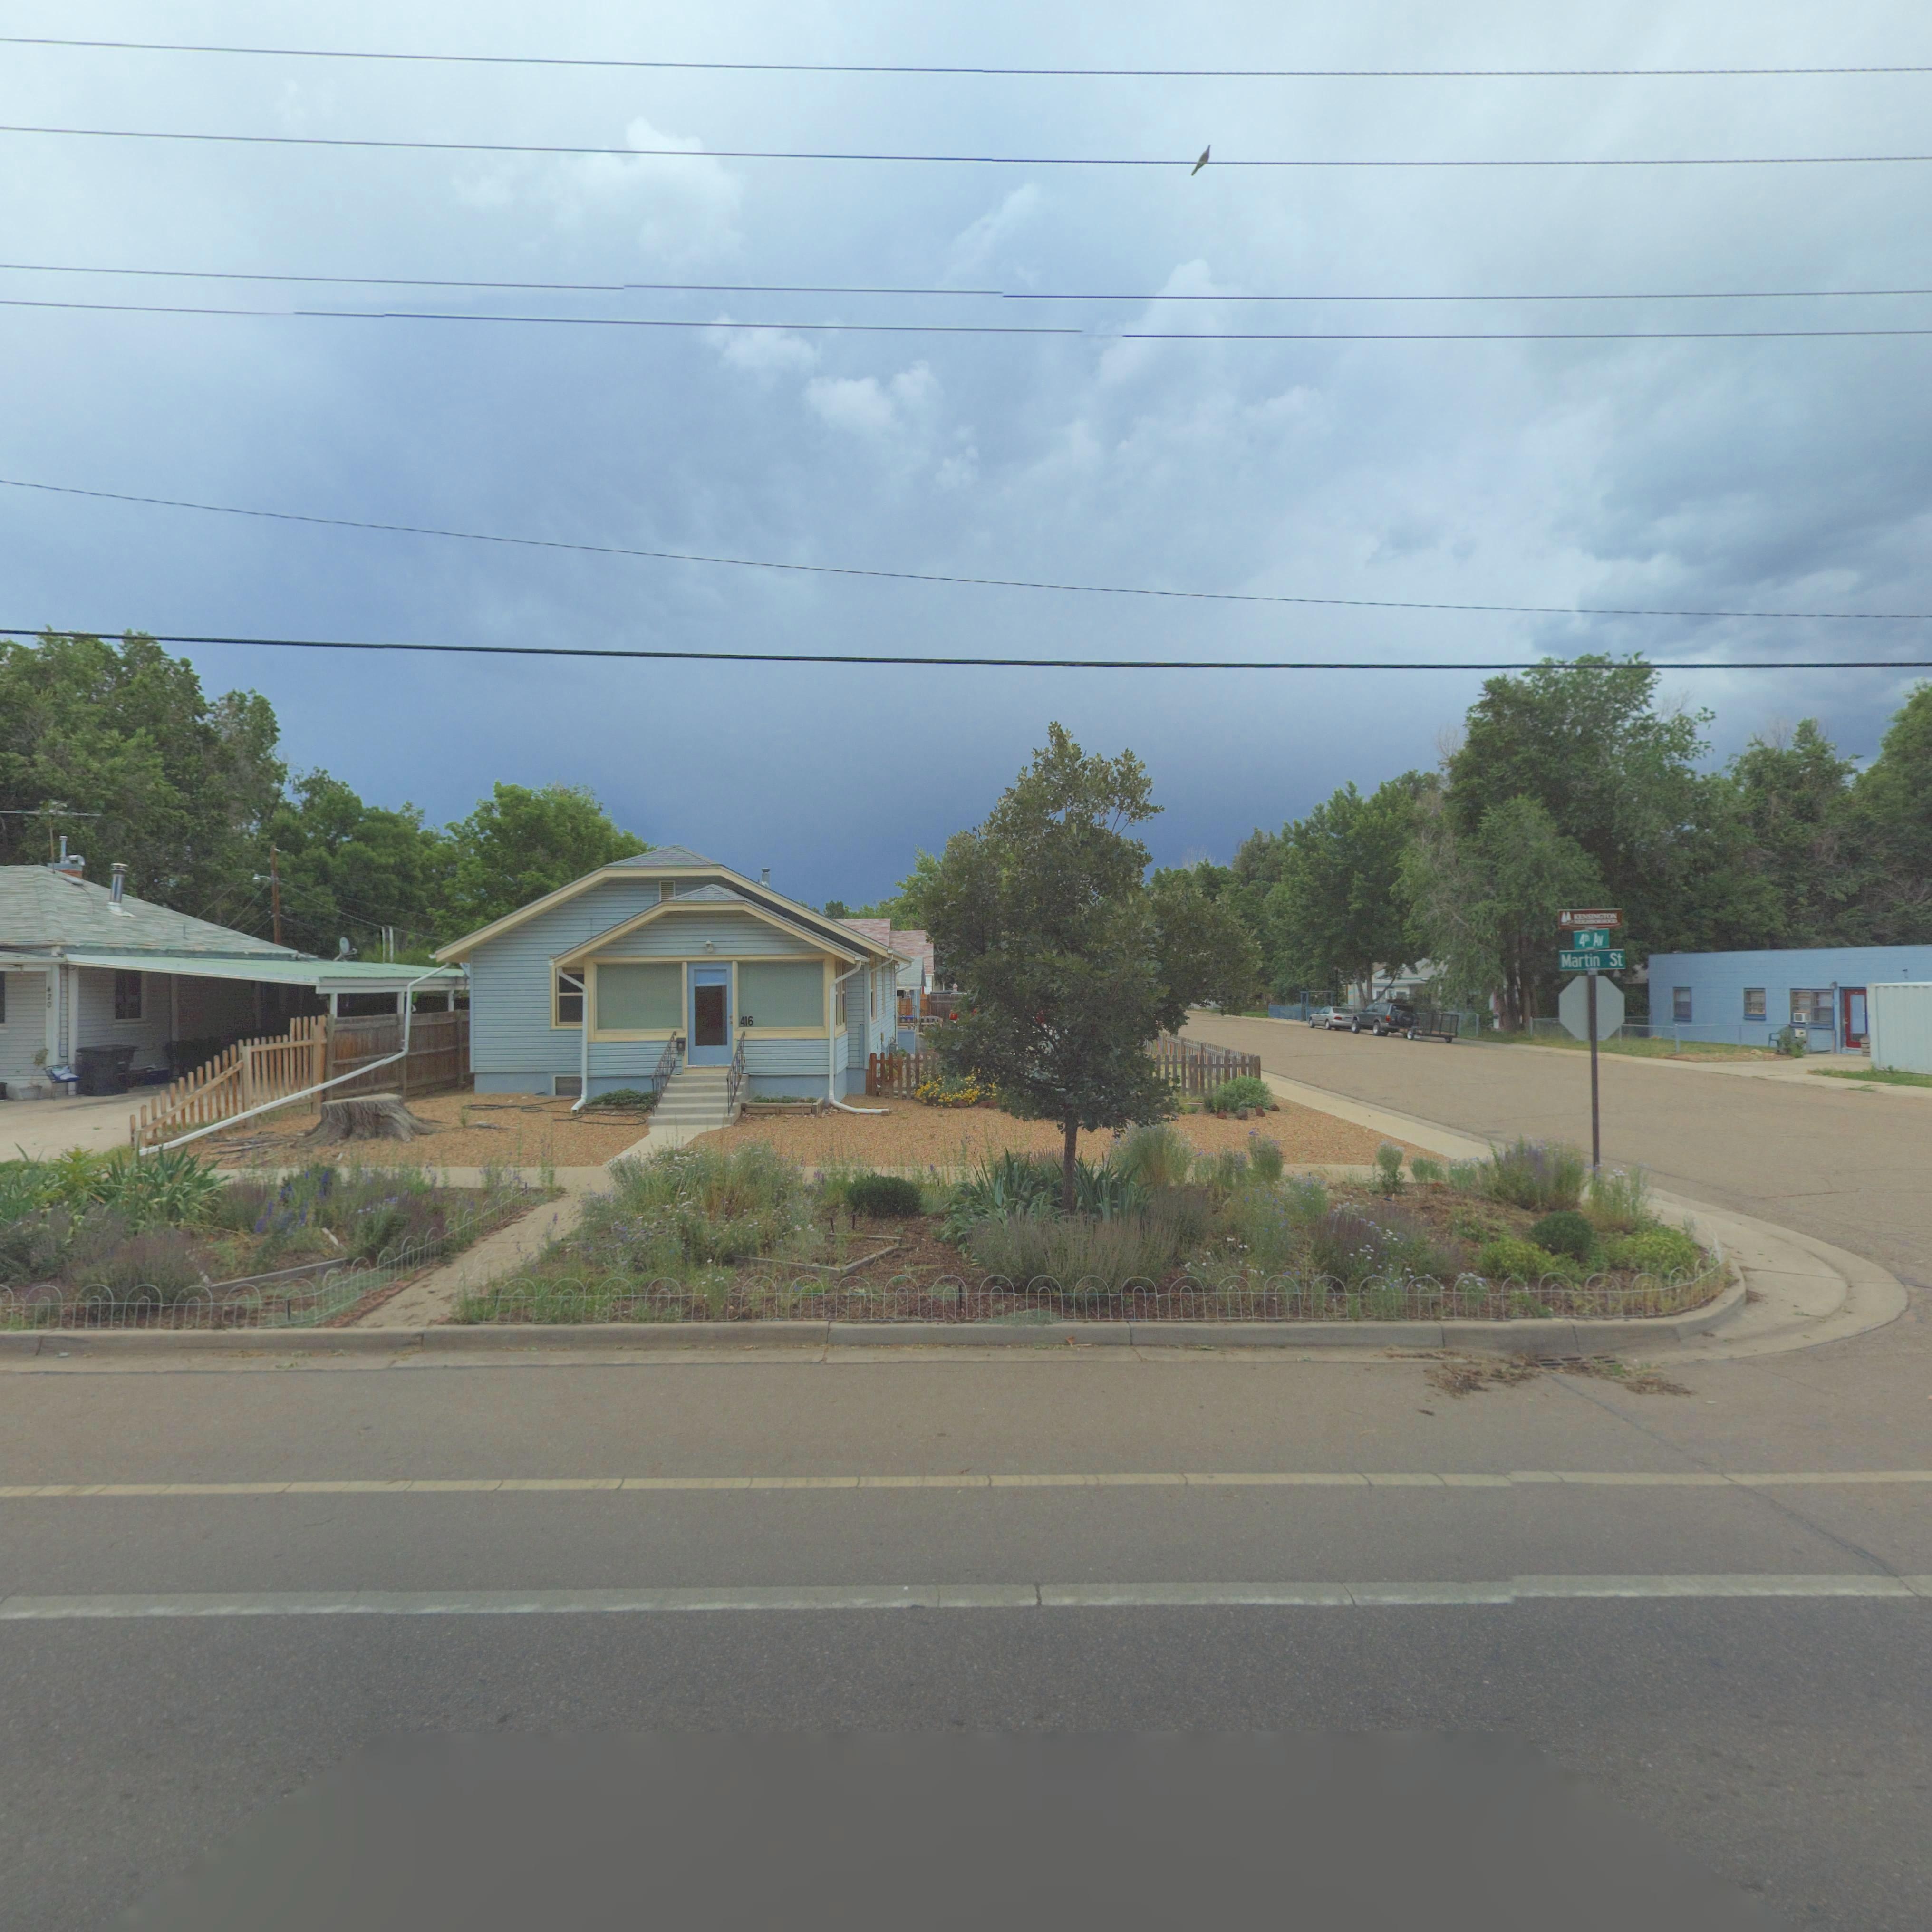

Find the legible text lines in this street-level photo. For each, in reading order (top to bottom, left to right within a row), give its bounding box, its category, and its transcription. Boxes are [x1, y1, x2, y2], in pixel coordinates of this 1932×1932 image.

[1578, 932, 1604, 947] StreetName: 4th Av
[1561, 952, 1623, 968] StreetName: Martin St
[47, 985, 52, 1008] StreetNumber: 420
[740, 1015, 753, 1026] StreetNumber: 416